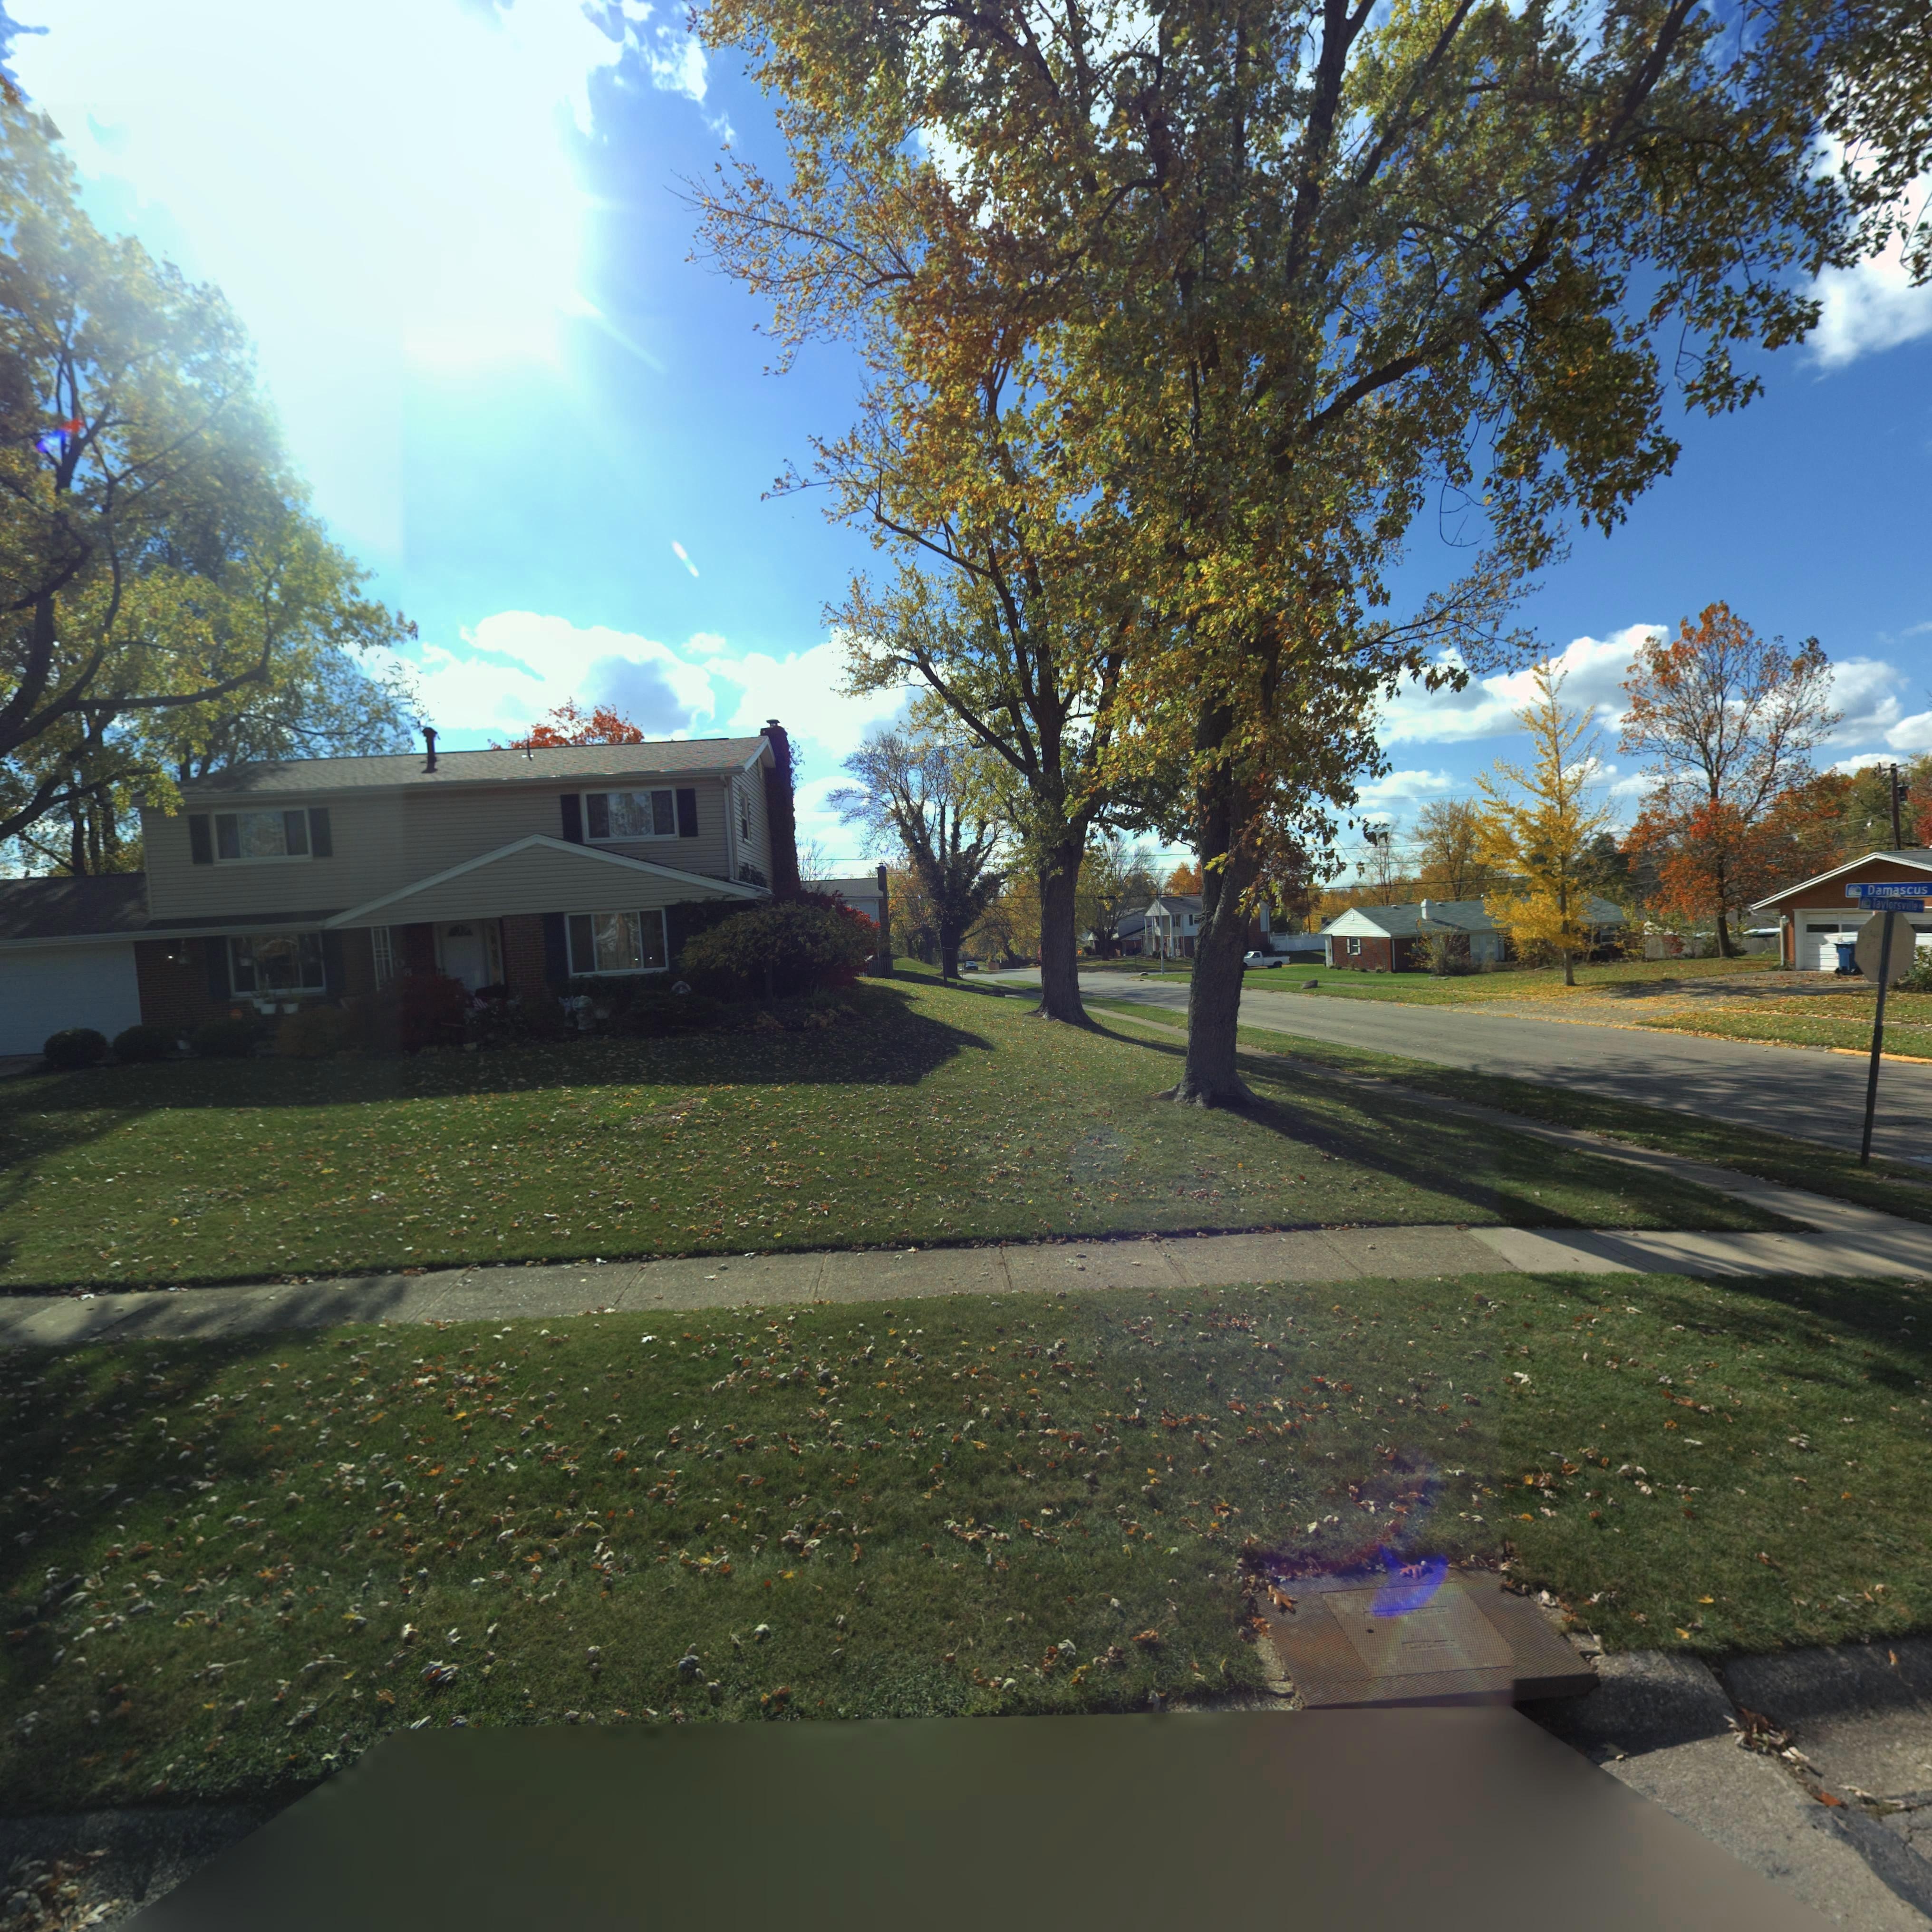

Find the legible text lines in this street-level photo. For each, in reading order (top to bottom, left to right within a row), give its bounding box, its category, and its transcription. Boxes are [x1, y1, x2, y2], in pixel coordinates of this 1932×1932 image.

[1867, 884, 1929, 896] StreetName: Damascus
[1872, 897, 1919, 912] StreetName: Taylorsville
[394, 957, 414, 979] StreetNumber: 08